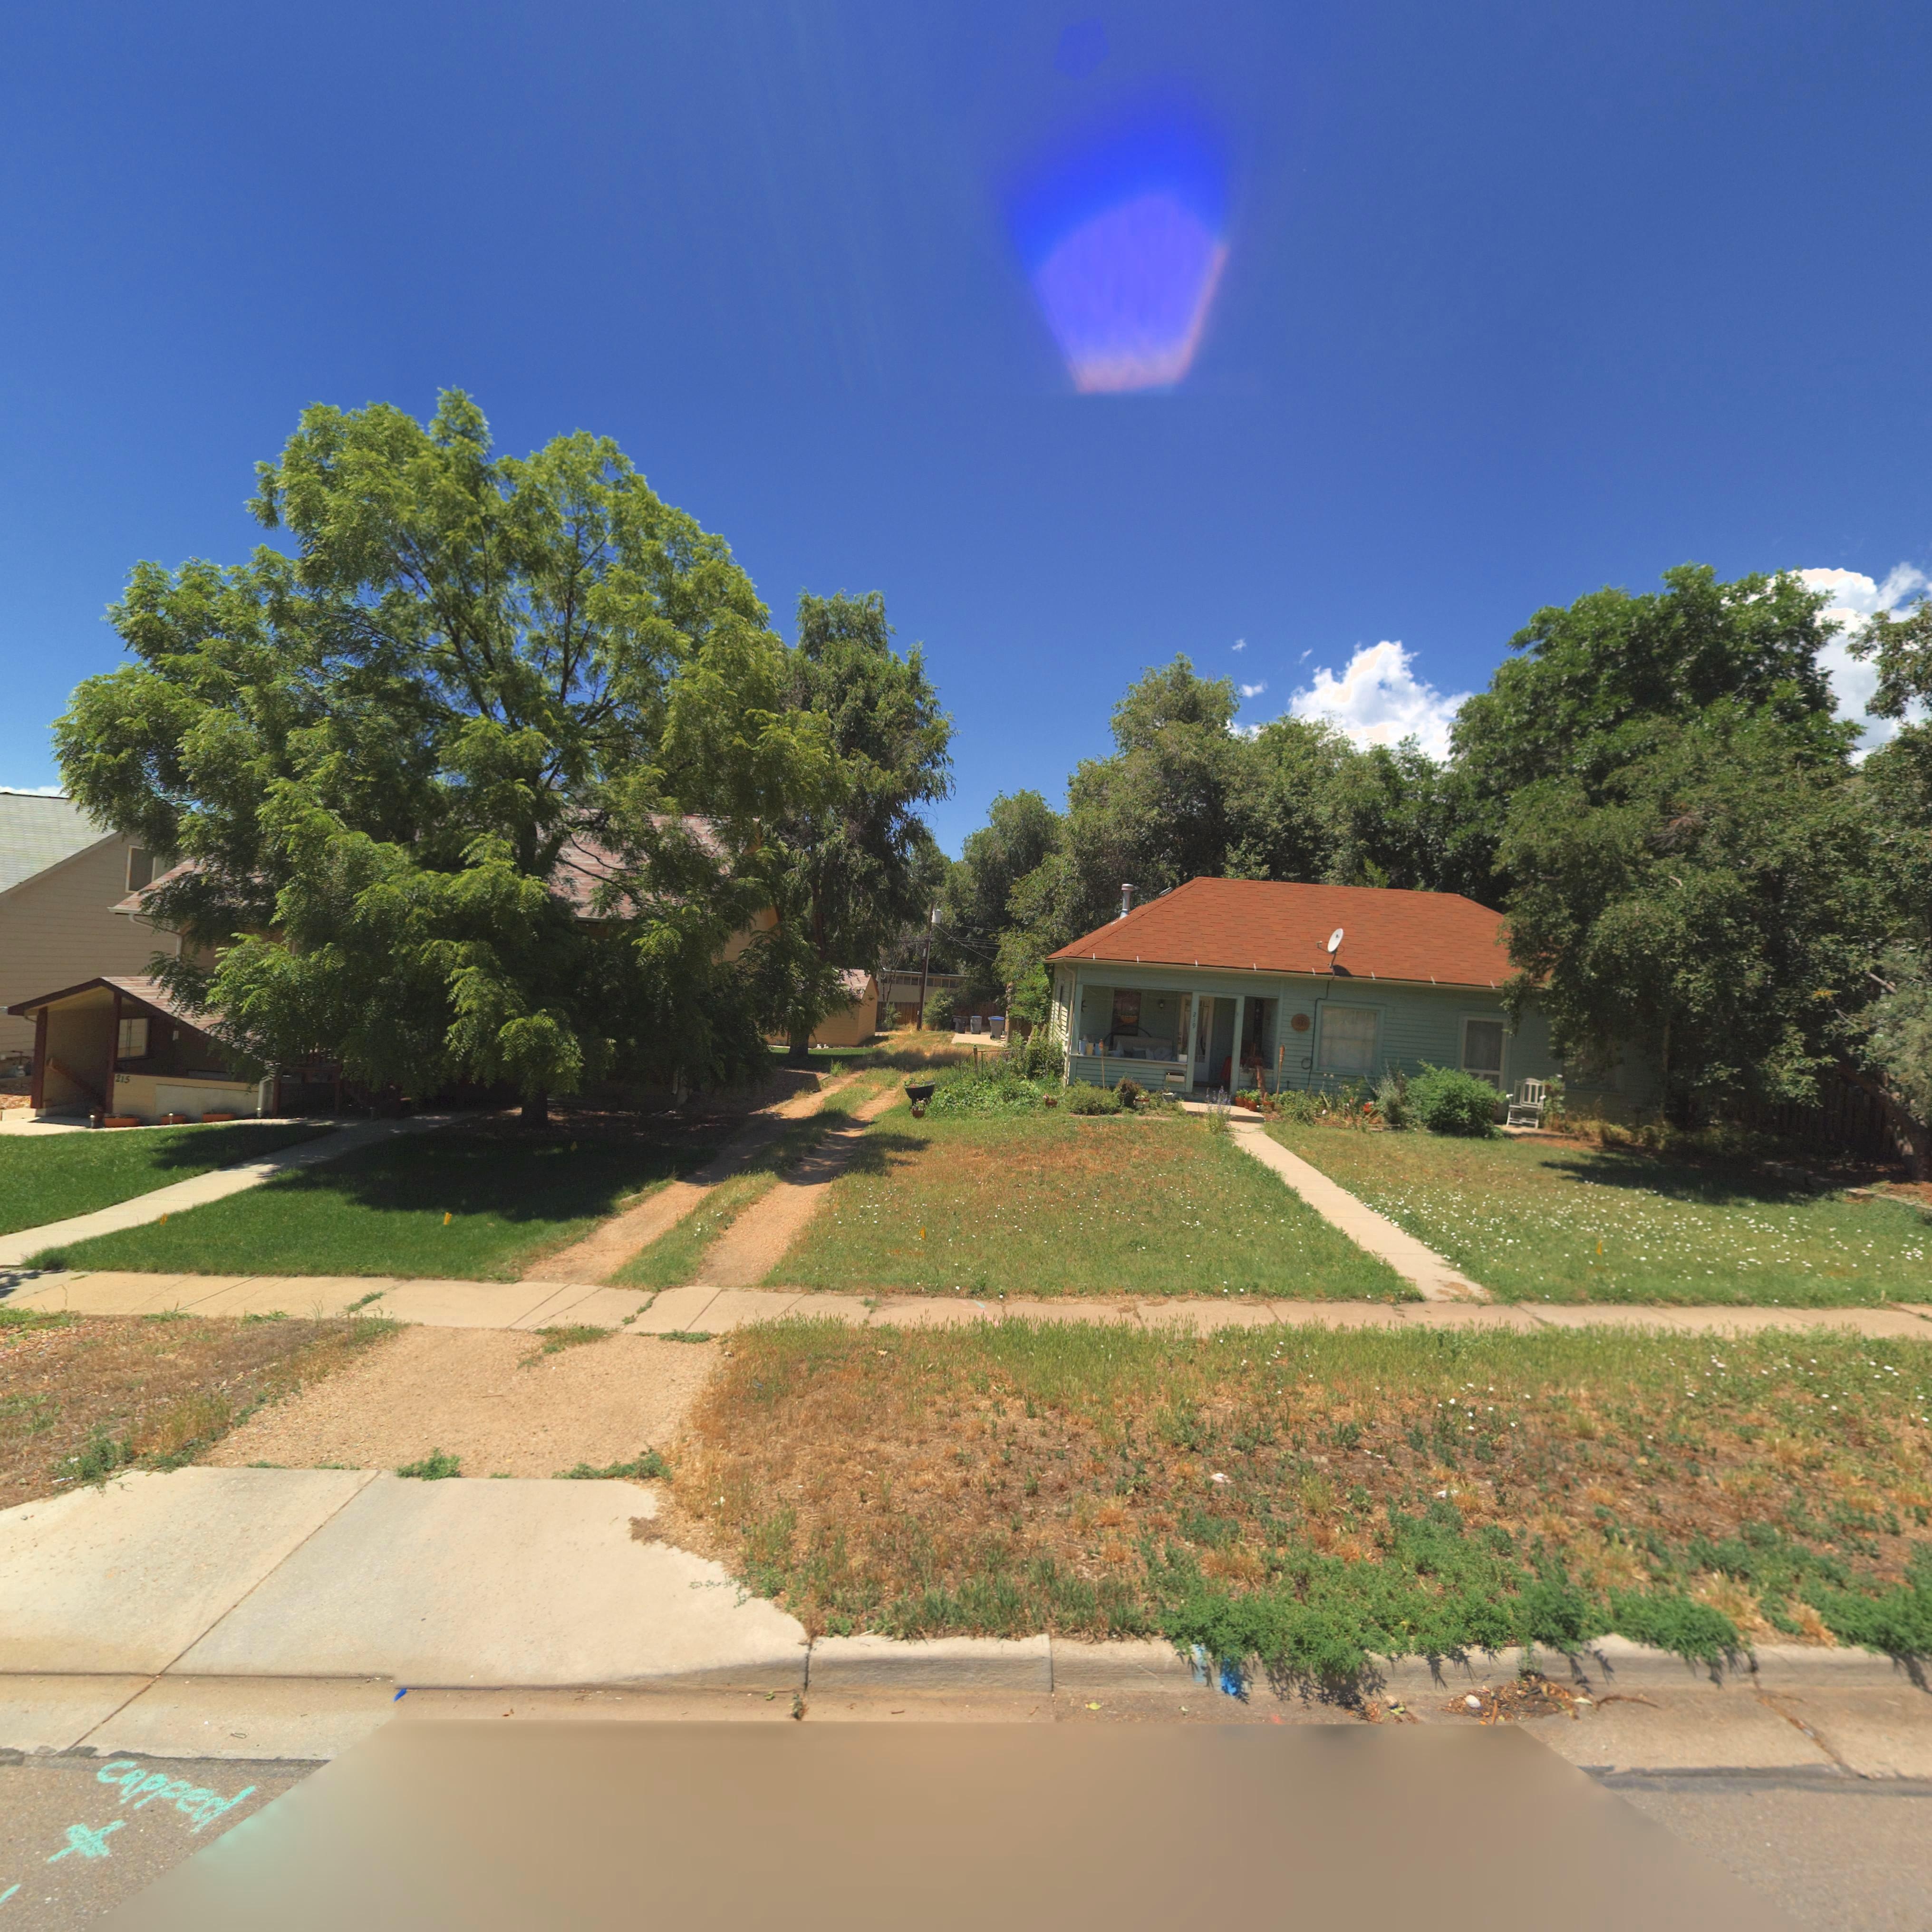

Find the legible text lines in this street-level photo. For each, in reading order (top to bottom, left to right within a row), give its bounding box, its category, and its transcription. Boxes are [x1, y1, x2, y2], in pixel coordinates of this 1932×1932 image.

[1192, 1012, 1196, 1028] StreetNumber: 219
[114, 1073, 131, 1083] StreetNumber: 215